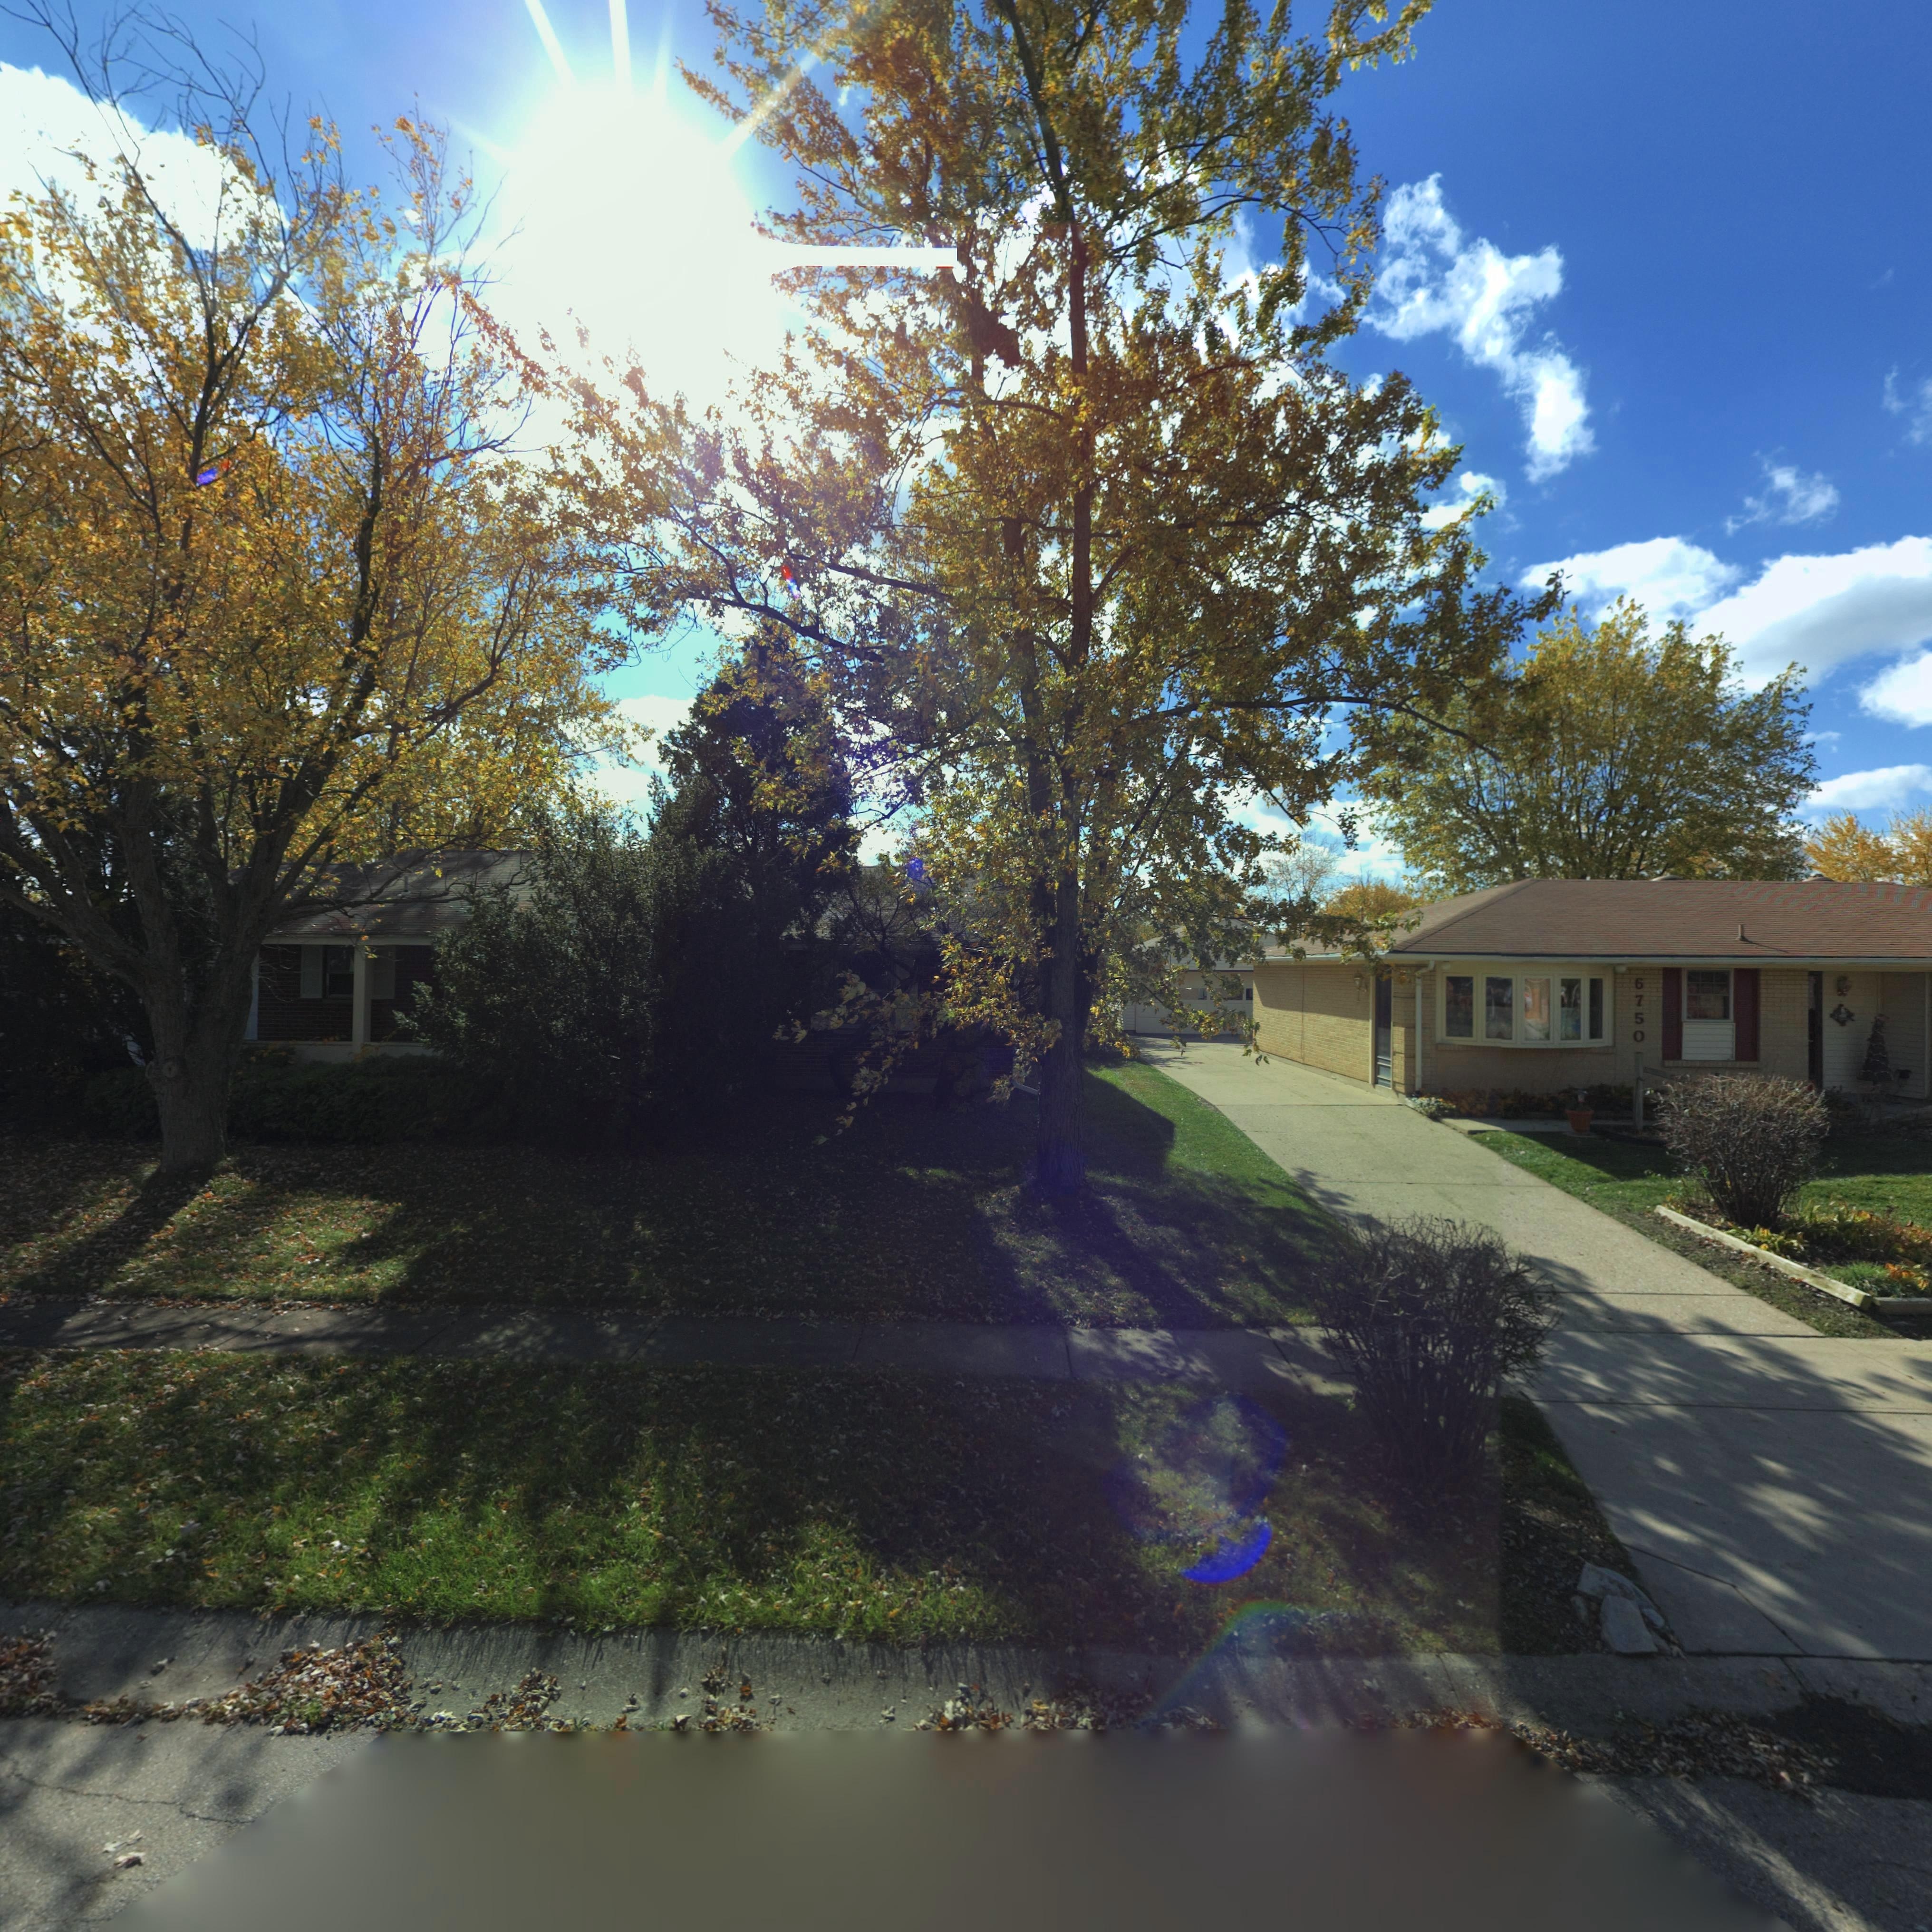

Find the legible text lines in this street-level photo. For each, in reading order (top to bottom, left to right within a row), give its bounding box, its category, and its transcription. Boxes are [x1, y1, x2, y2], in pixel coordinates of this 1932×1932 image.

[1633, 976, 1645, 1043] StreetNumber: 6750